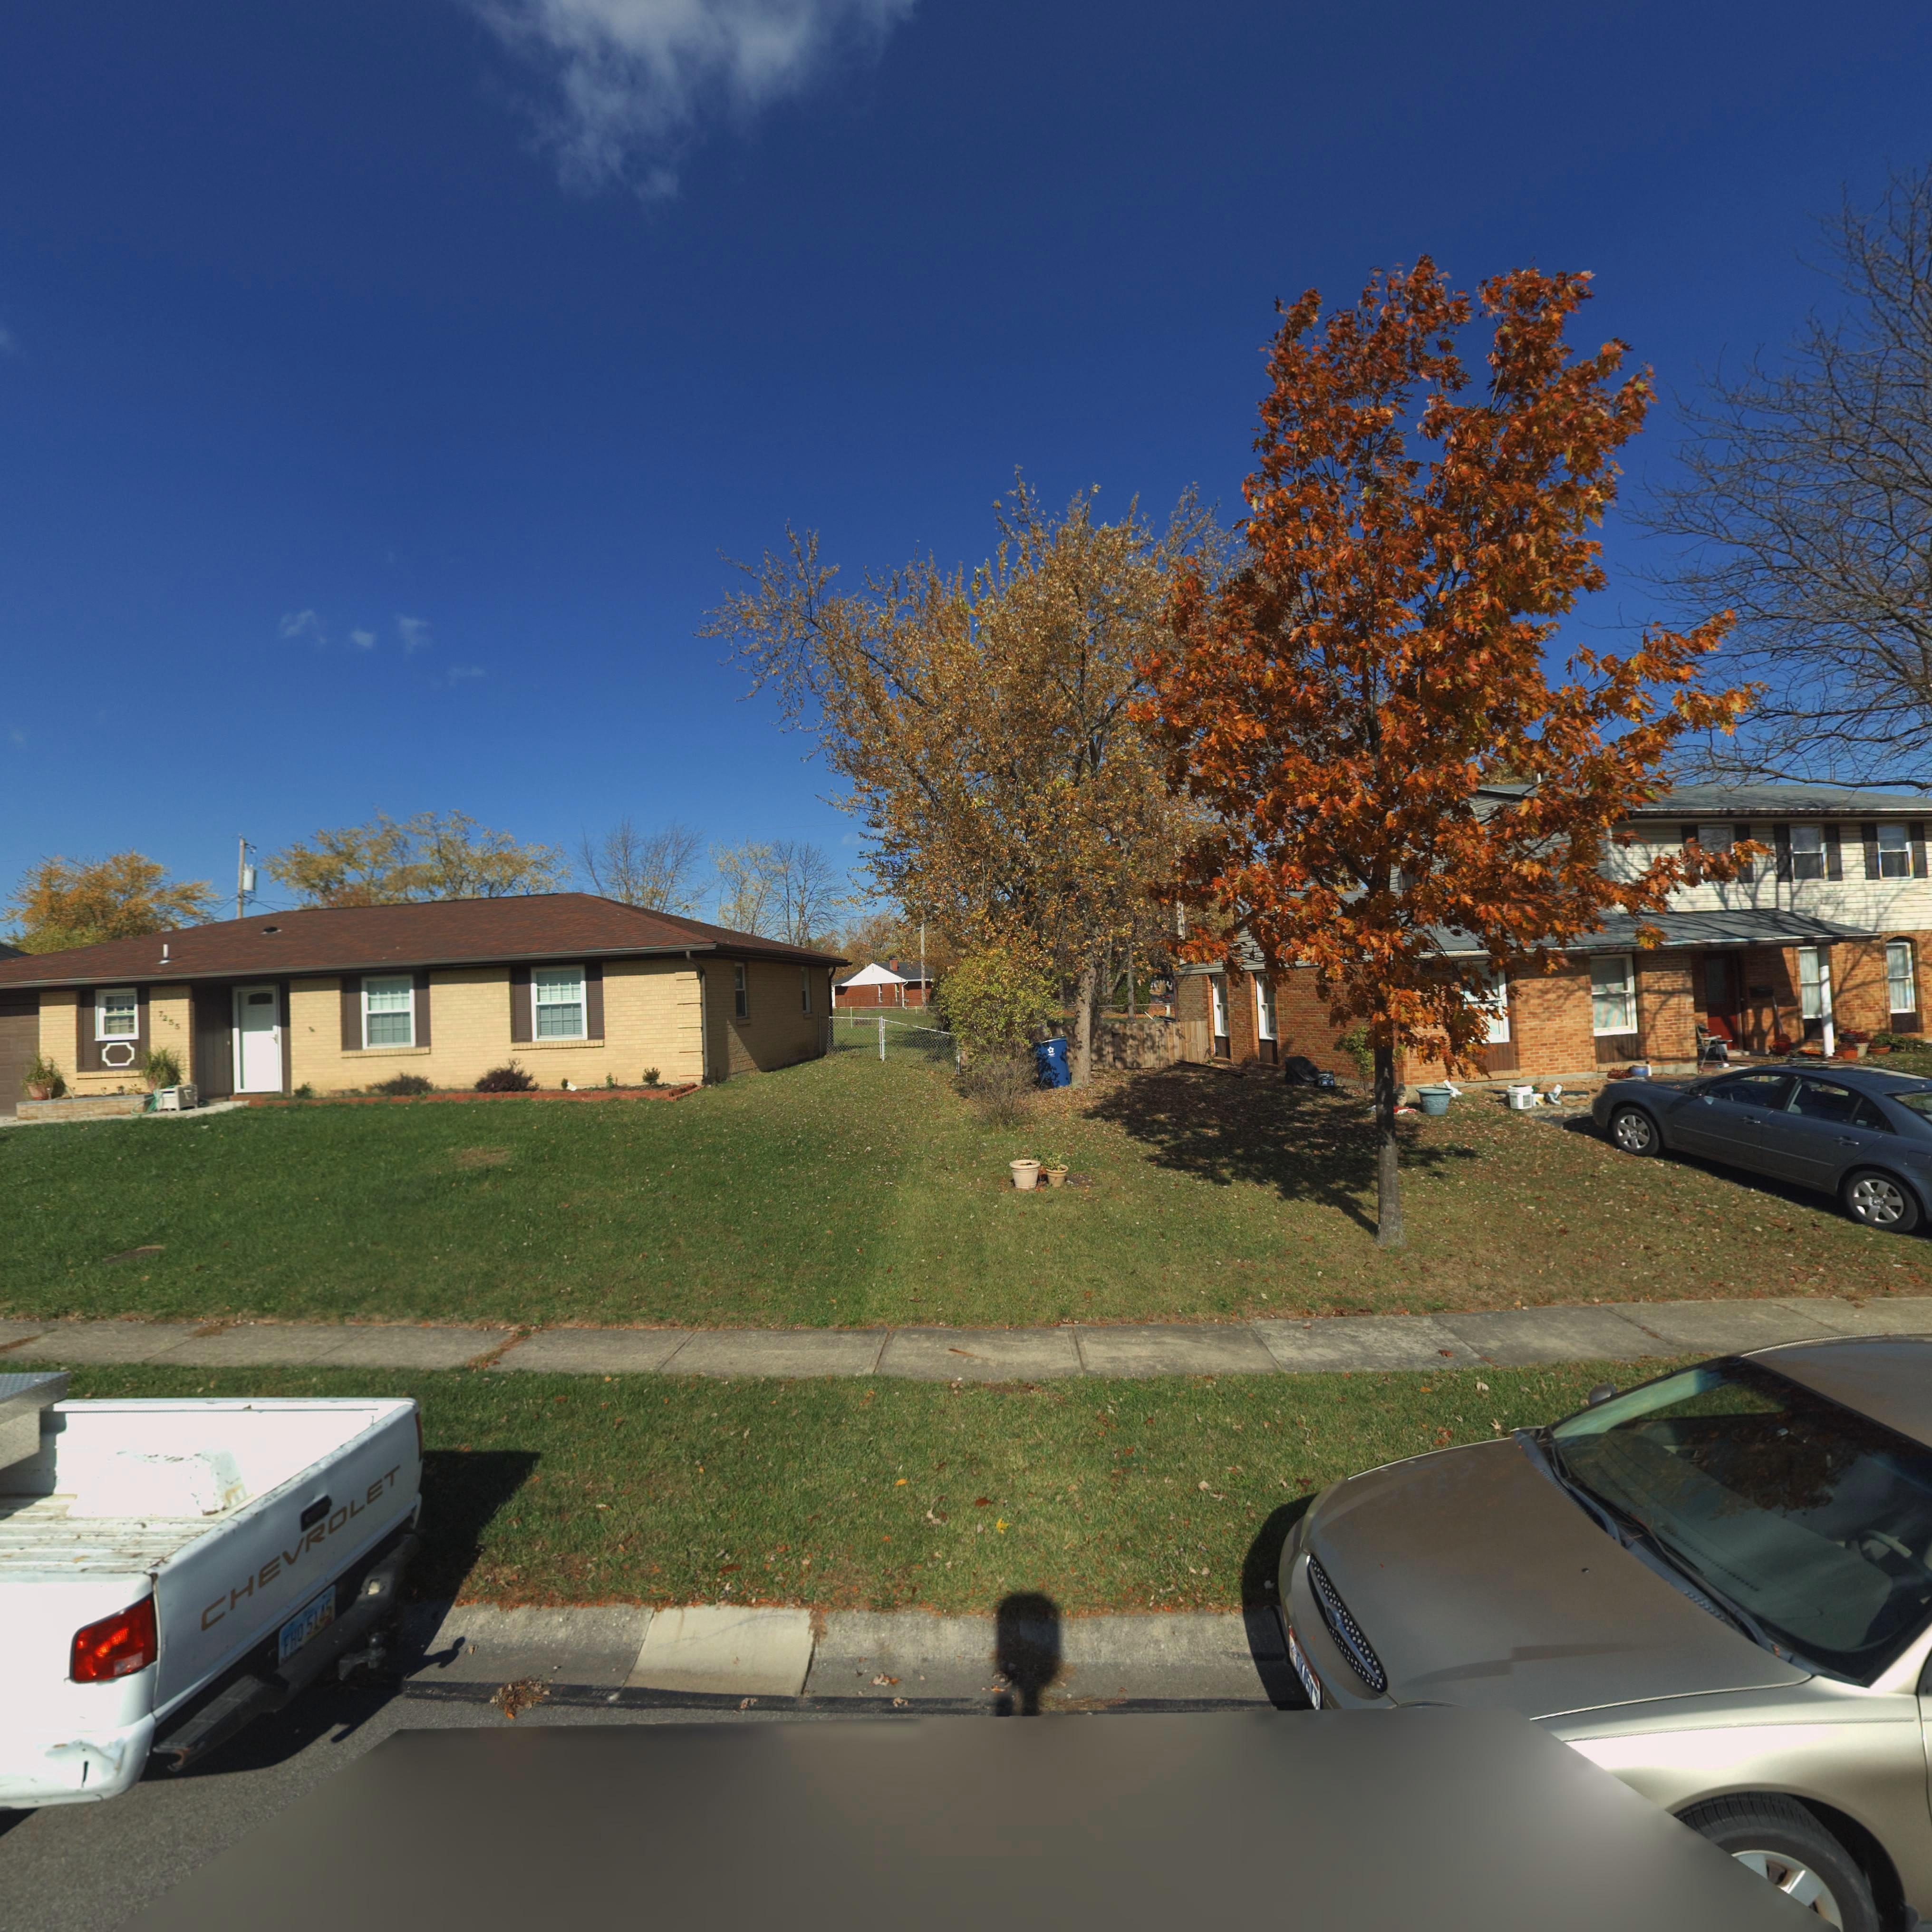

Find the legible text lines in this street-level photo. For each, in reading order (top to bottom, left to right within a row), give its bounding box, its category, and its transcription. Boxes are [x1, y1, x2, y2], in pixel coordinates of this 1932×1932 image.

[158, 1010, 182, 1032] StreetNumber: 7255